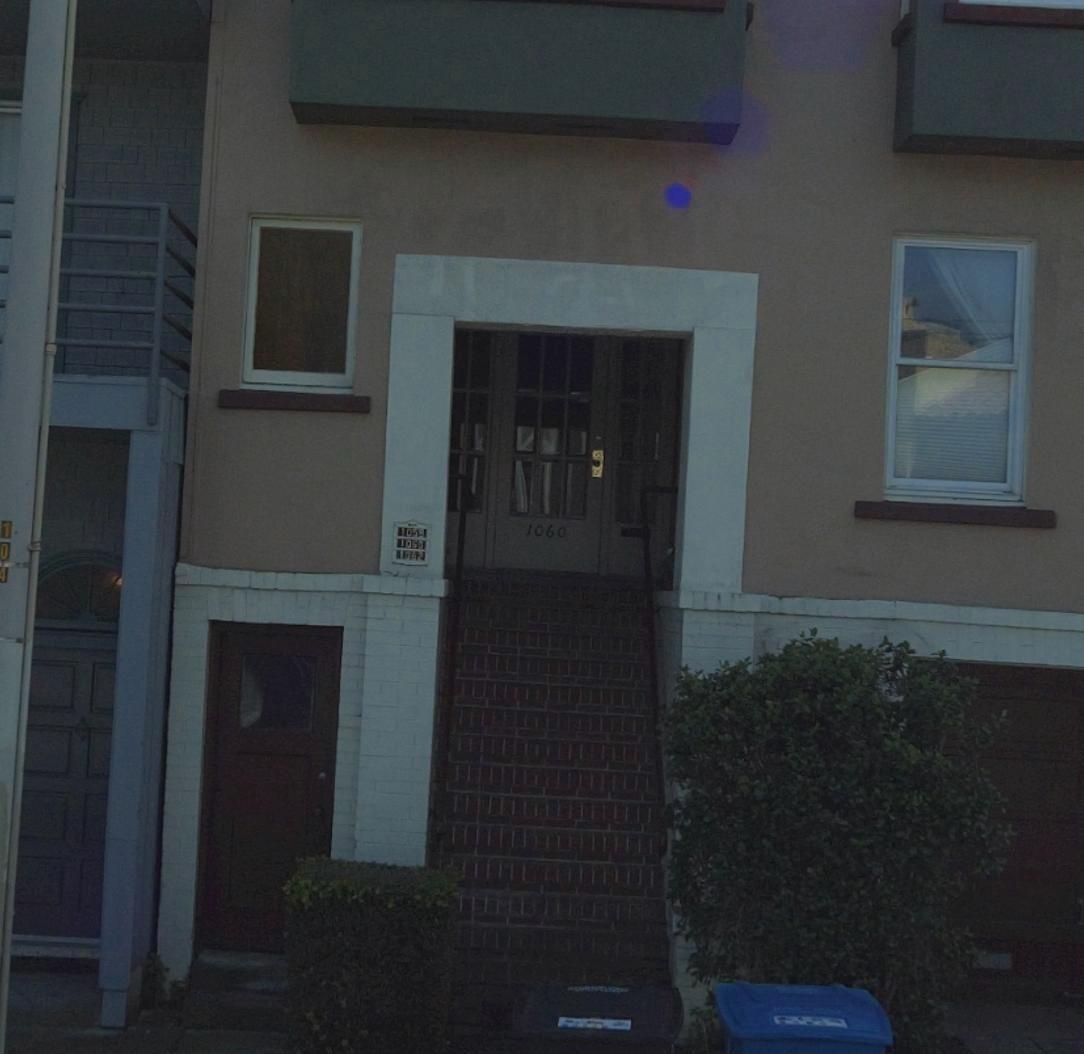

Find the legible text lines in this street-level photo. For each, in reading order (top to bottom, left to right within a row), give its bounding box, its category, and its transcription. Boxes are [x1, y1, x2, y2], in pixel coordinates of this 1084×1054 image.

[0, 519, 13, 540] None: 1
[399, 525, 426, 540] StreetNumber: 1059
[522, 520, 569, 540] StreetNumber: 1060
[398, 537, 426, 551] StreetNumber: 105*
[397, 549, 426, 563] StreetNumber: 1062